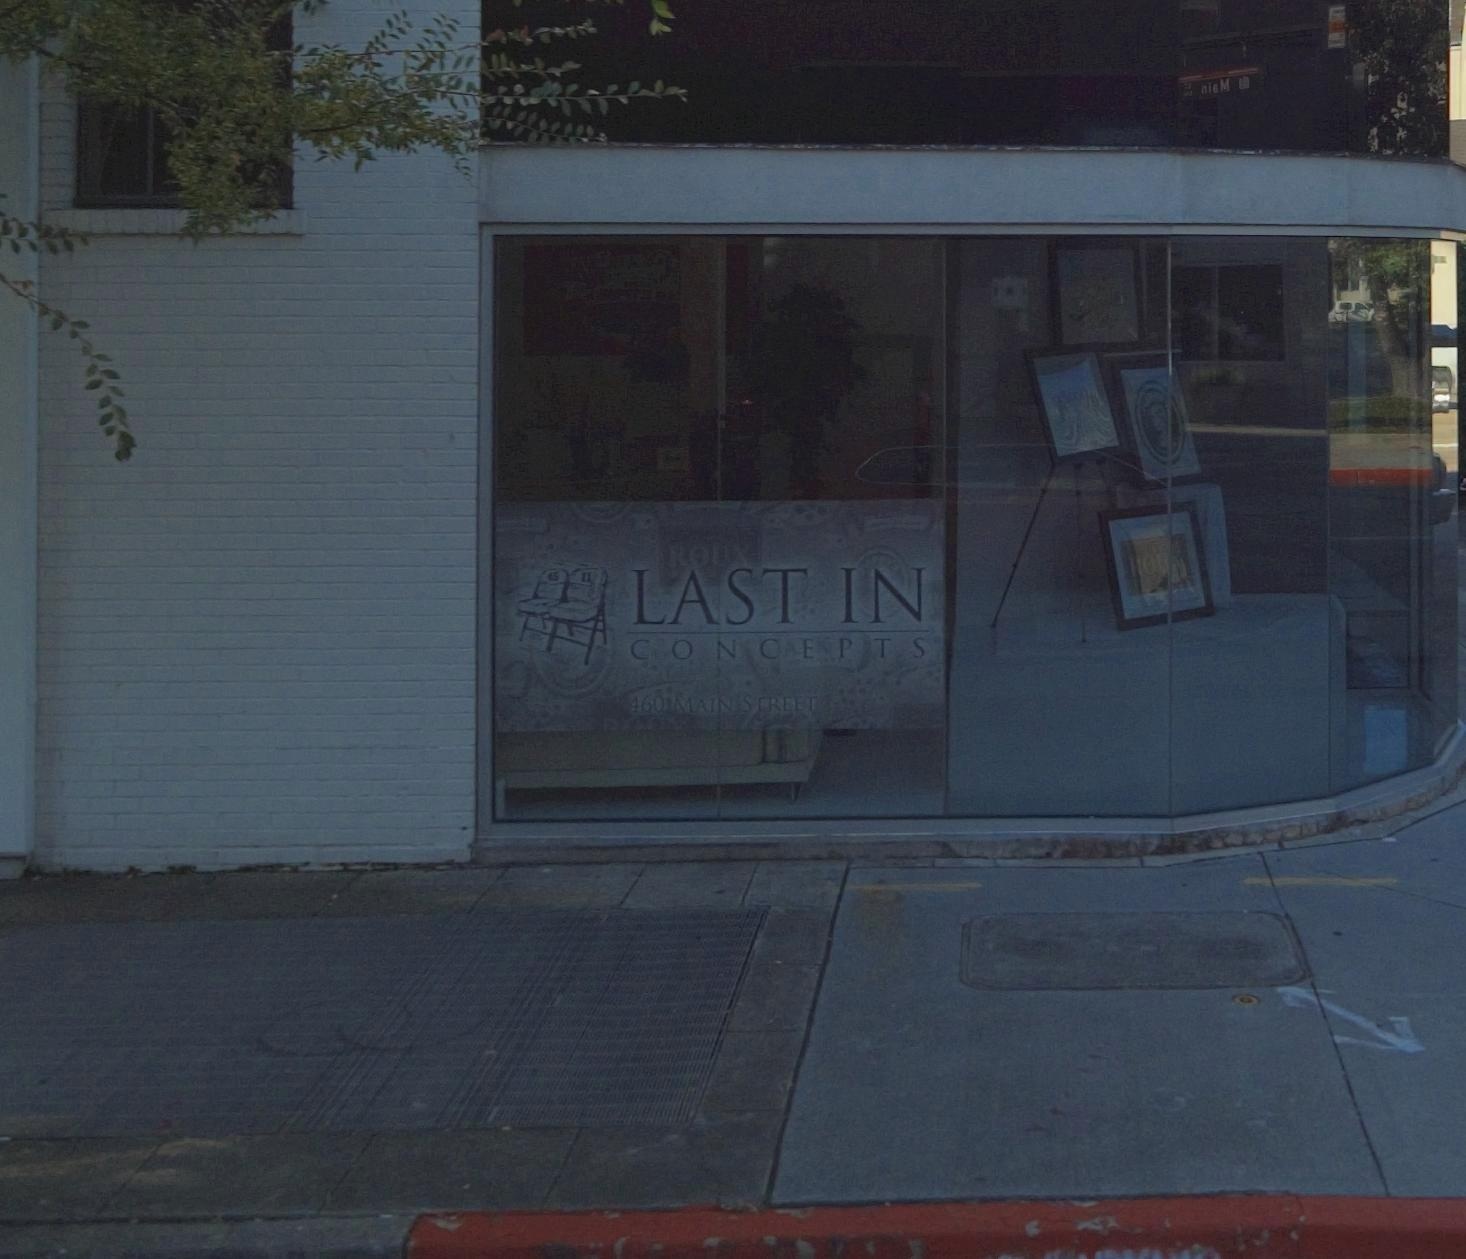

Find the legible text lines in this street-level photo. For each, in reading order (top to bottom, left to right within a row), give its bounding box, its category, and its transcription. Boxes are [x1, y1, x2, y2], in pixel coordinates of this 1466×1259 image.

[624, 562, 930, 629] BusinessName: LAST IN
[626, 635, 927, 661] BusinessName: CONCEPTS
[623, 693, 665, 714] StreetNumber: 460
[671, 692, 820, 715] StreetName: MAIN STREET